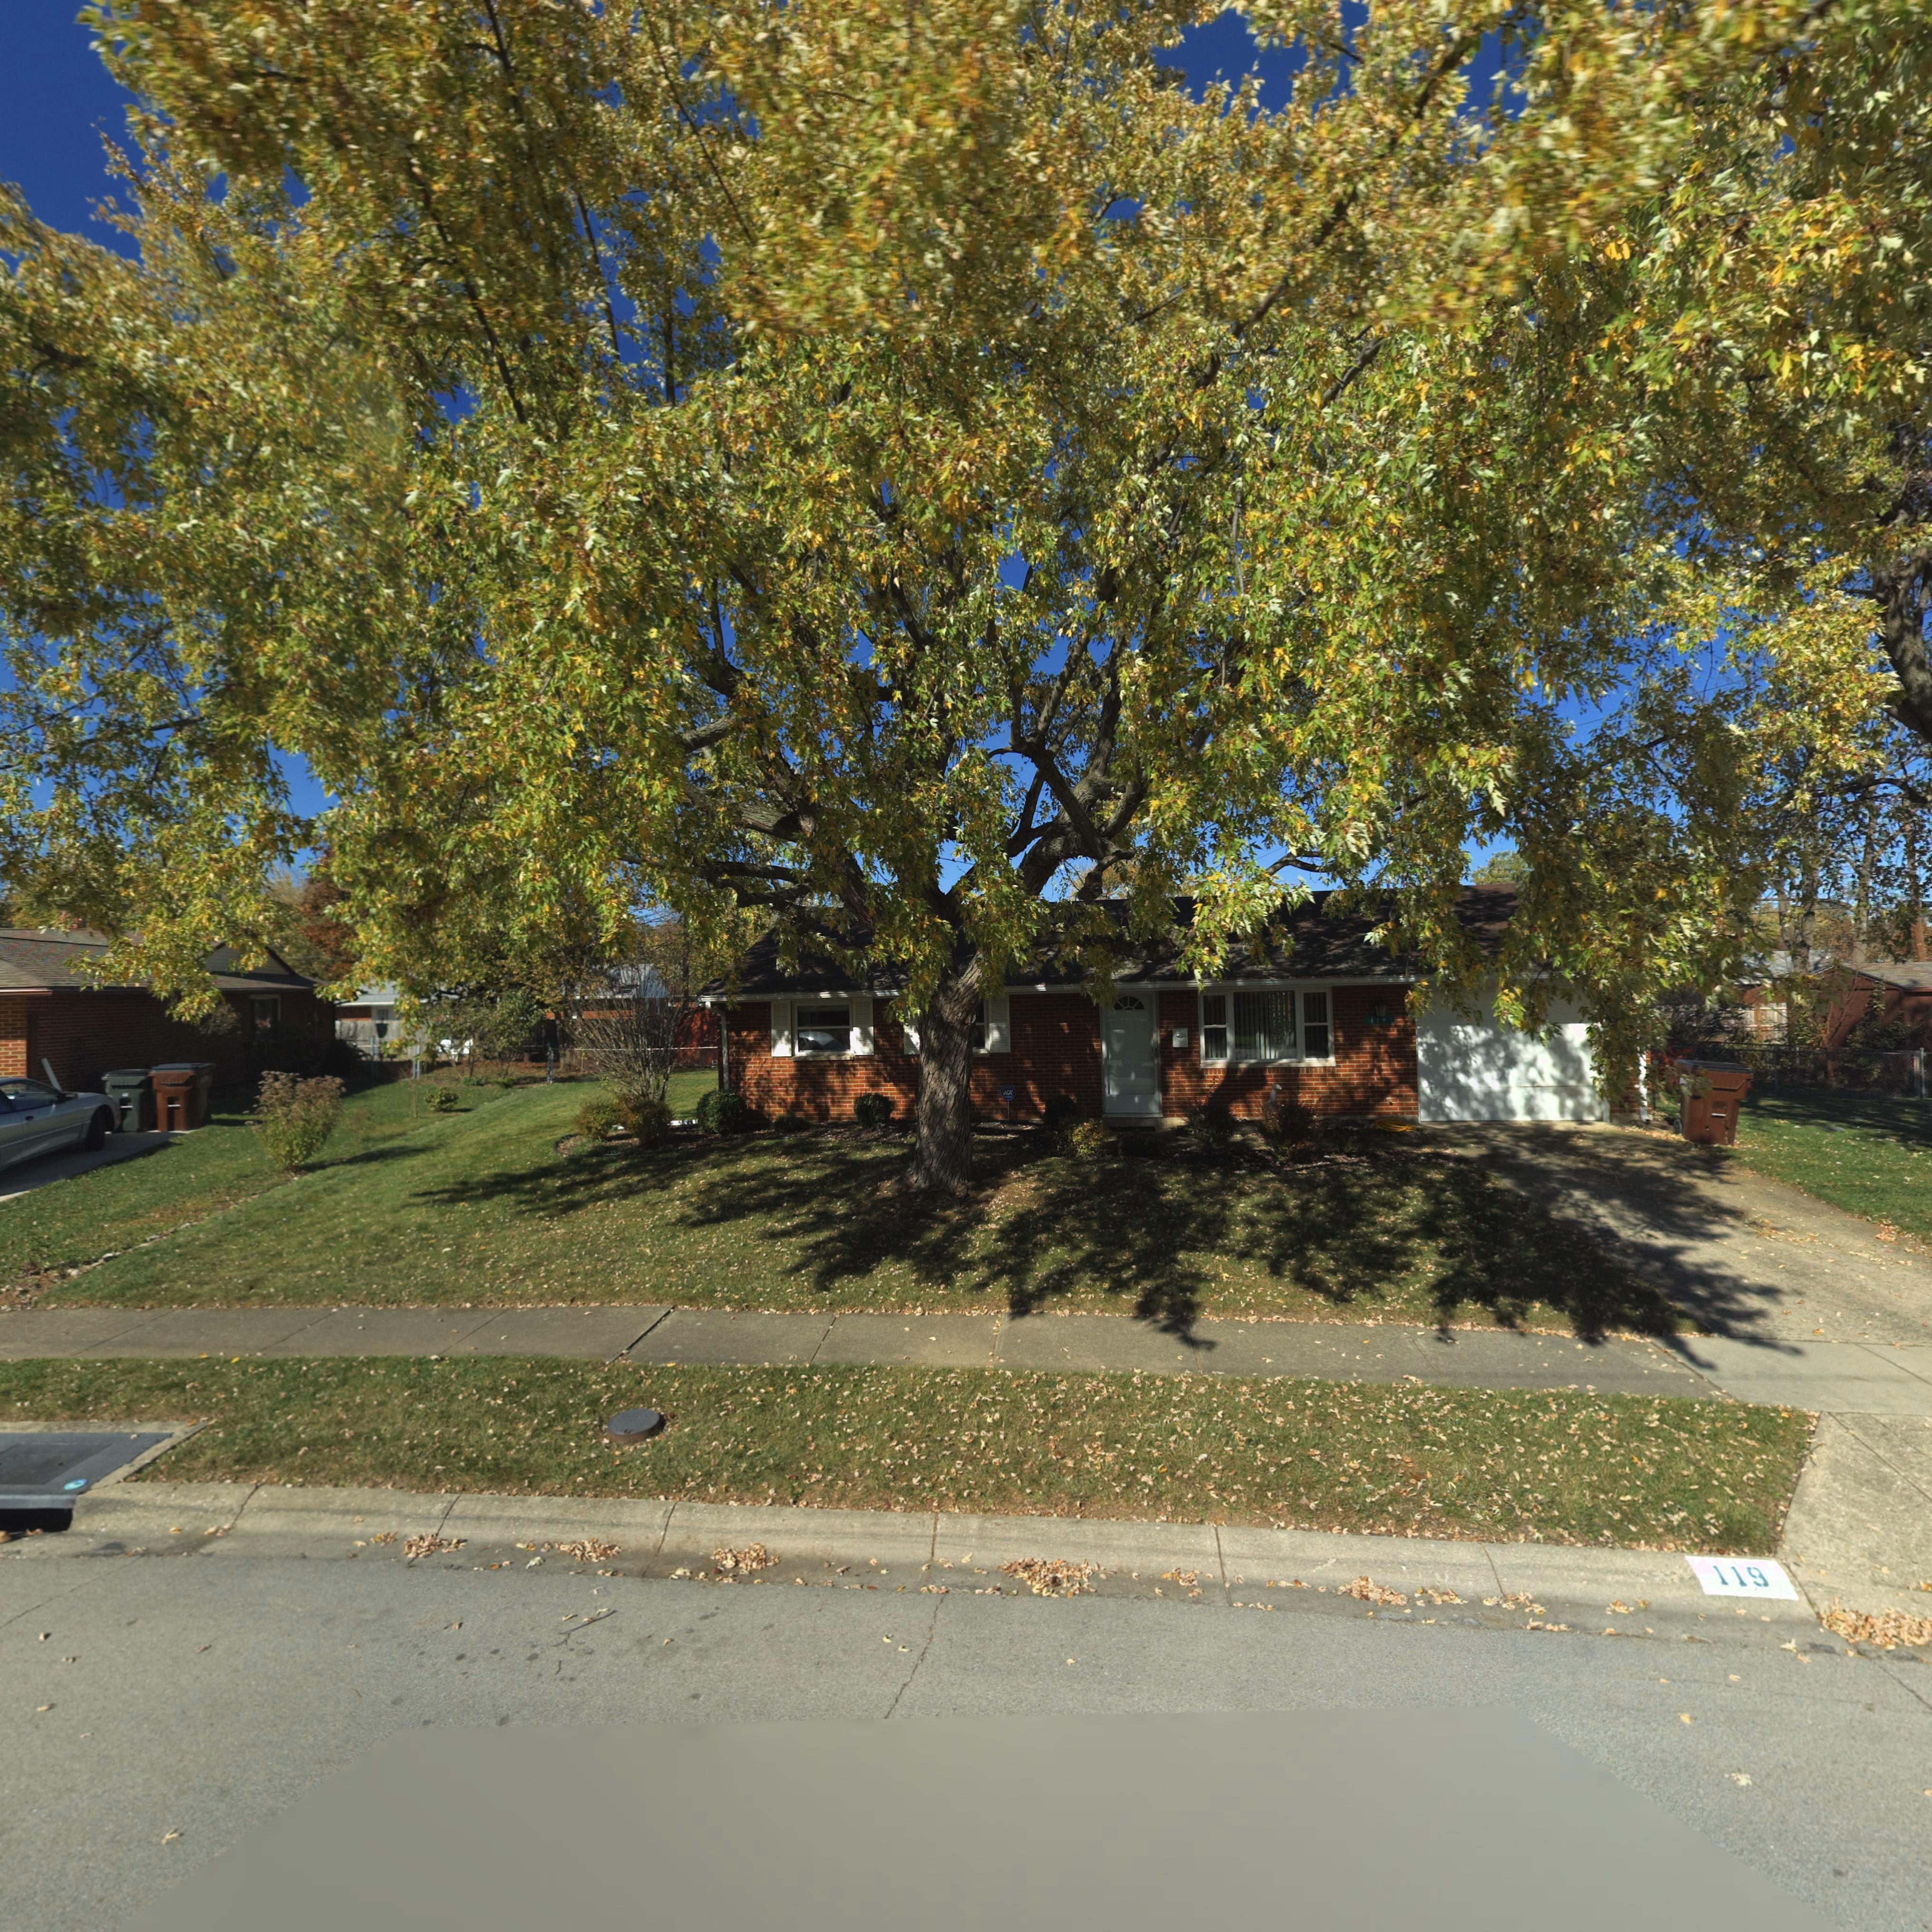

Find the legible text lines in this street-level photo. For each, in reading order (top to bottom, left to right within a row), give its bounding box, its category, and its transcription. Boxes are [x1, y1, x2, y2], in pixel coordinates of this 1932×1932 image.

[1370, 1015, 1387, 1024] StreetNumber: 1**
[1709, 1564, 1772, 1588] StreetNumber: 119